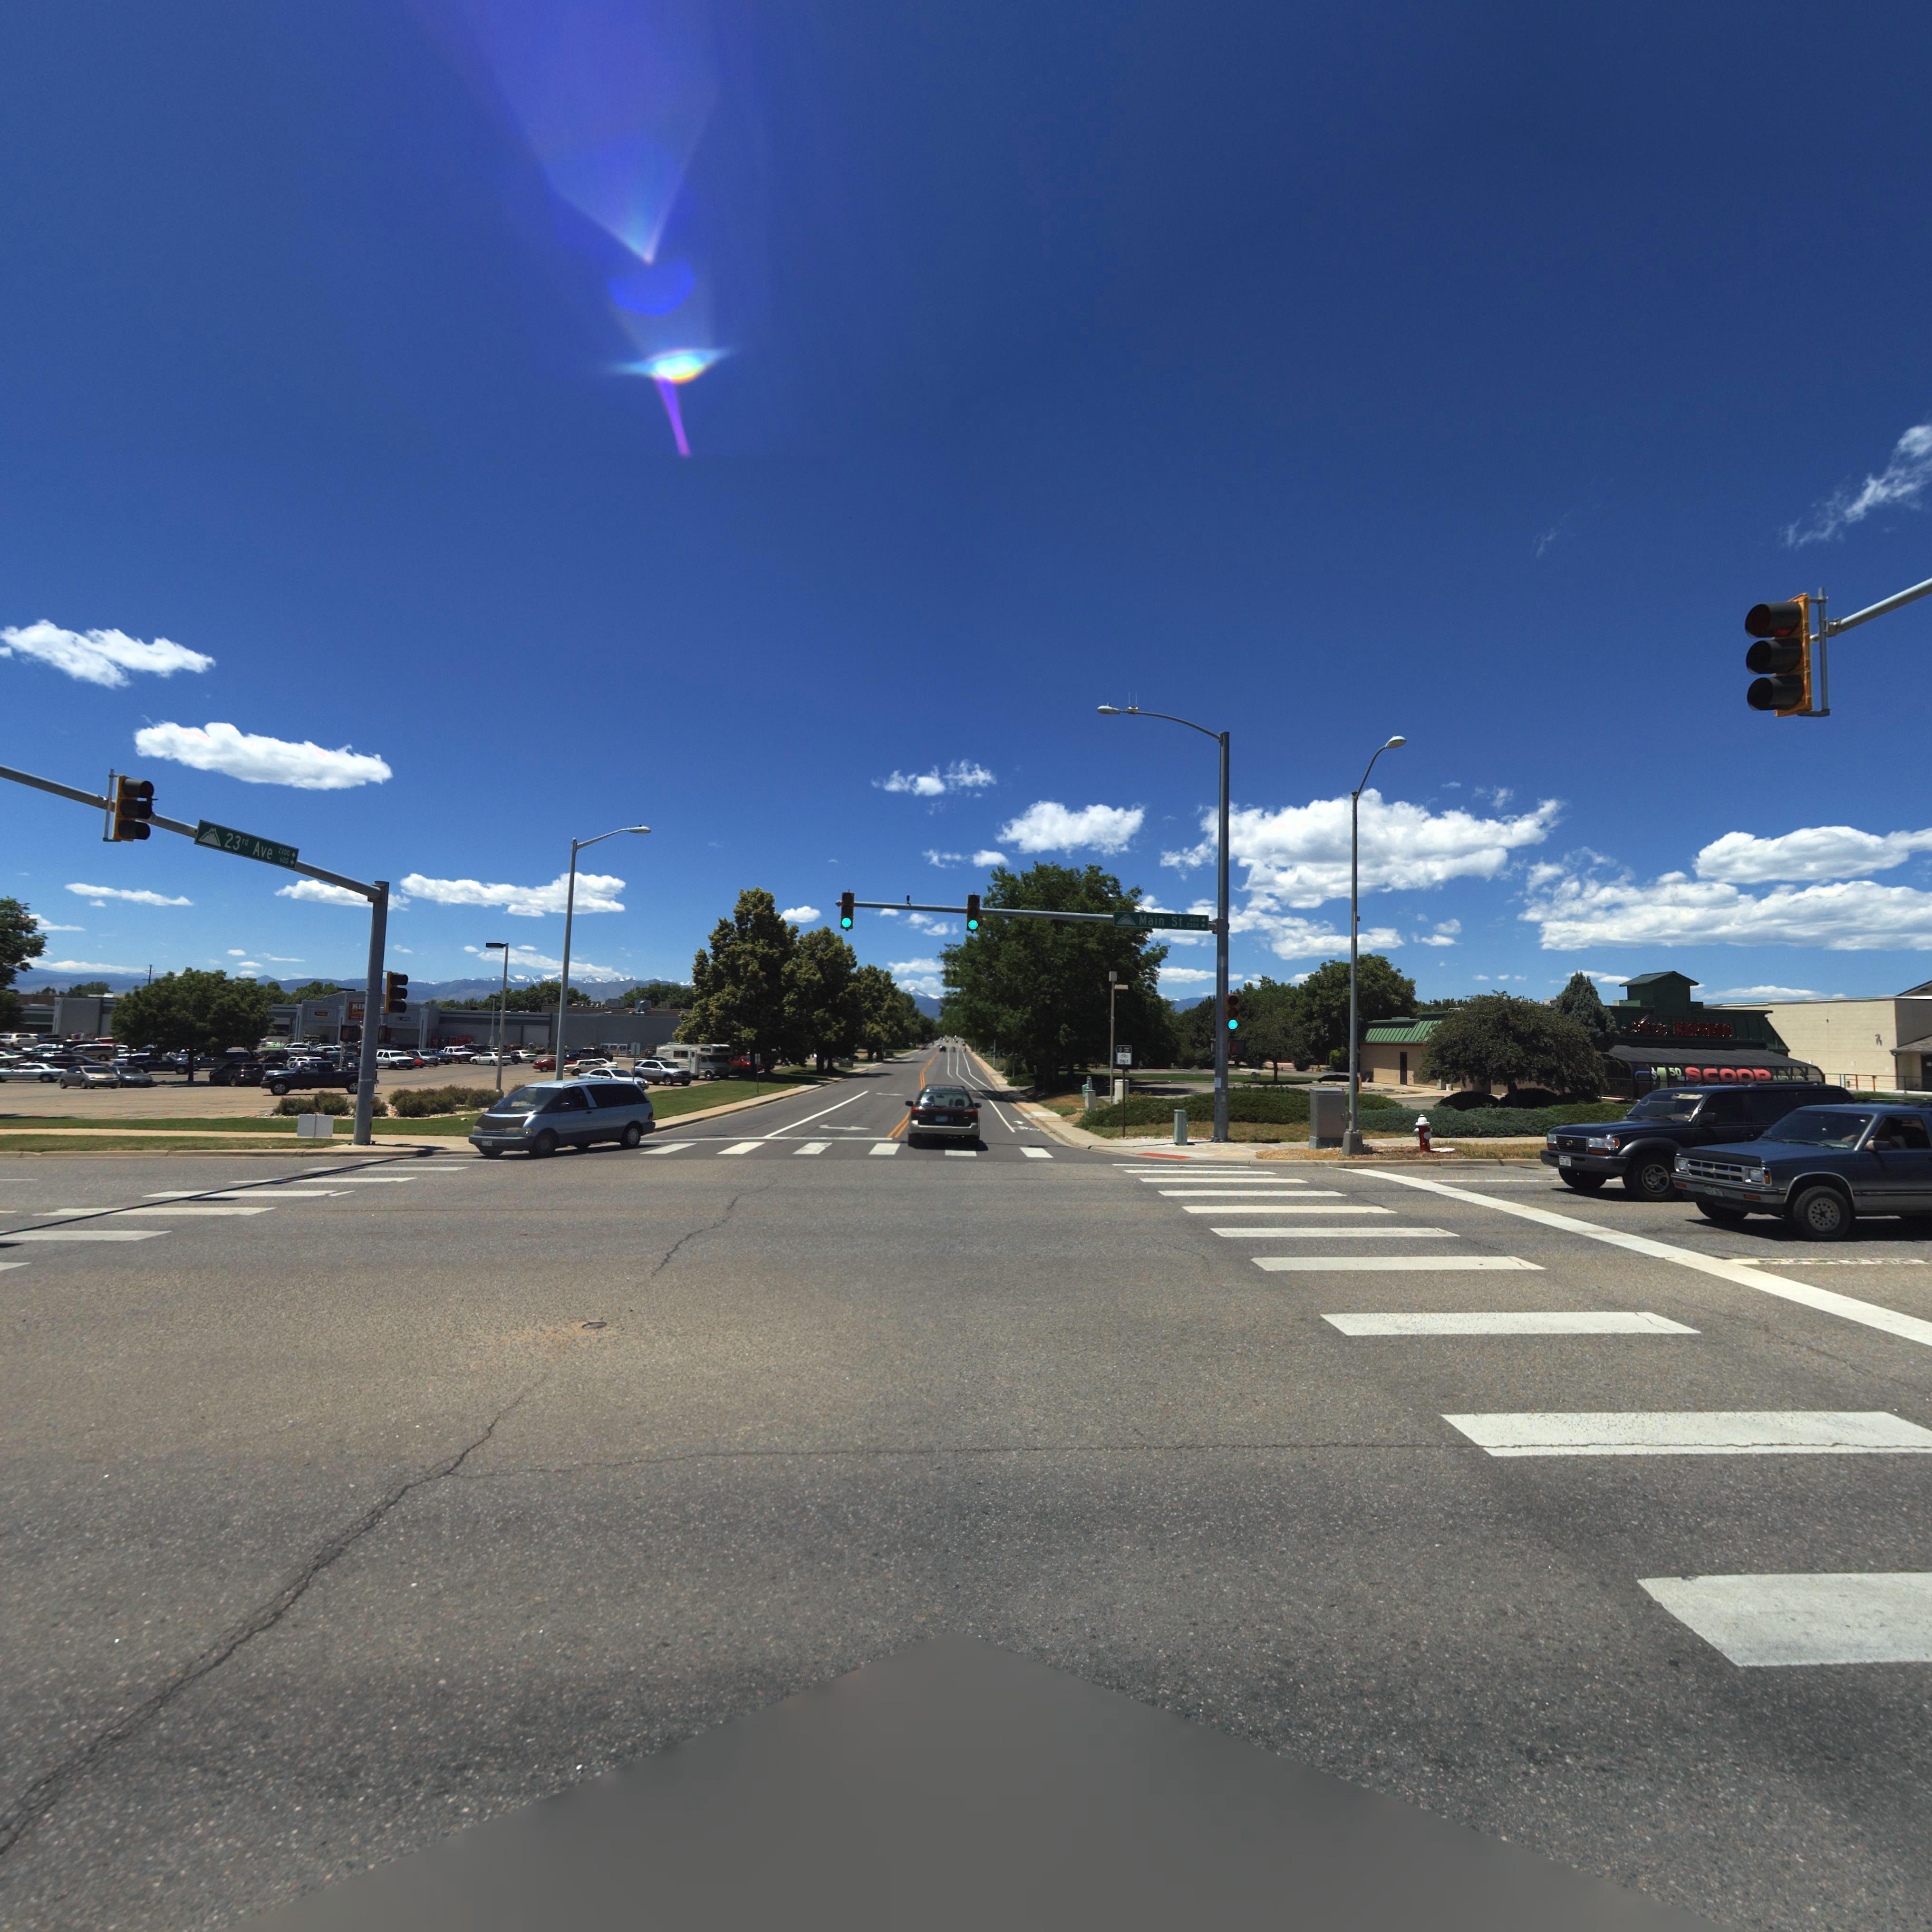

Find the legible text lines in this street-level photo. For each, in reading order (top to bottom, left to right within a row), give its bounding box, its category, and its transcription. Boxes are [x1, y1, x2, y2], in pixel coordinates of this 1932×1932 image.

[223, 832, 272, 860] StreetName: 23rd Ave
[278, 847, 290, 856] StreetNumberRange: 2200
[279, 855, 294, 865] StreetNumberRange: 600->
[1139, 914, 1182, 927] StreetName: Main St
[1190, 917, 1199, 922] StreetNumberRange: 600
[1186, 922, 1206, 927] StreetNumberRange: 2*00->
[352, 1003, 365, 1010] BusinessName: KI*
[351, 1009, 365, 1015] BusinessName: Soop
[1625, 1014, 1667, 1036] BusinessName: A**
[1672, 1021, 1732, 1036] BusinessName: EXPRESS